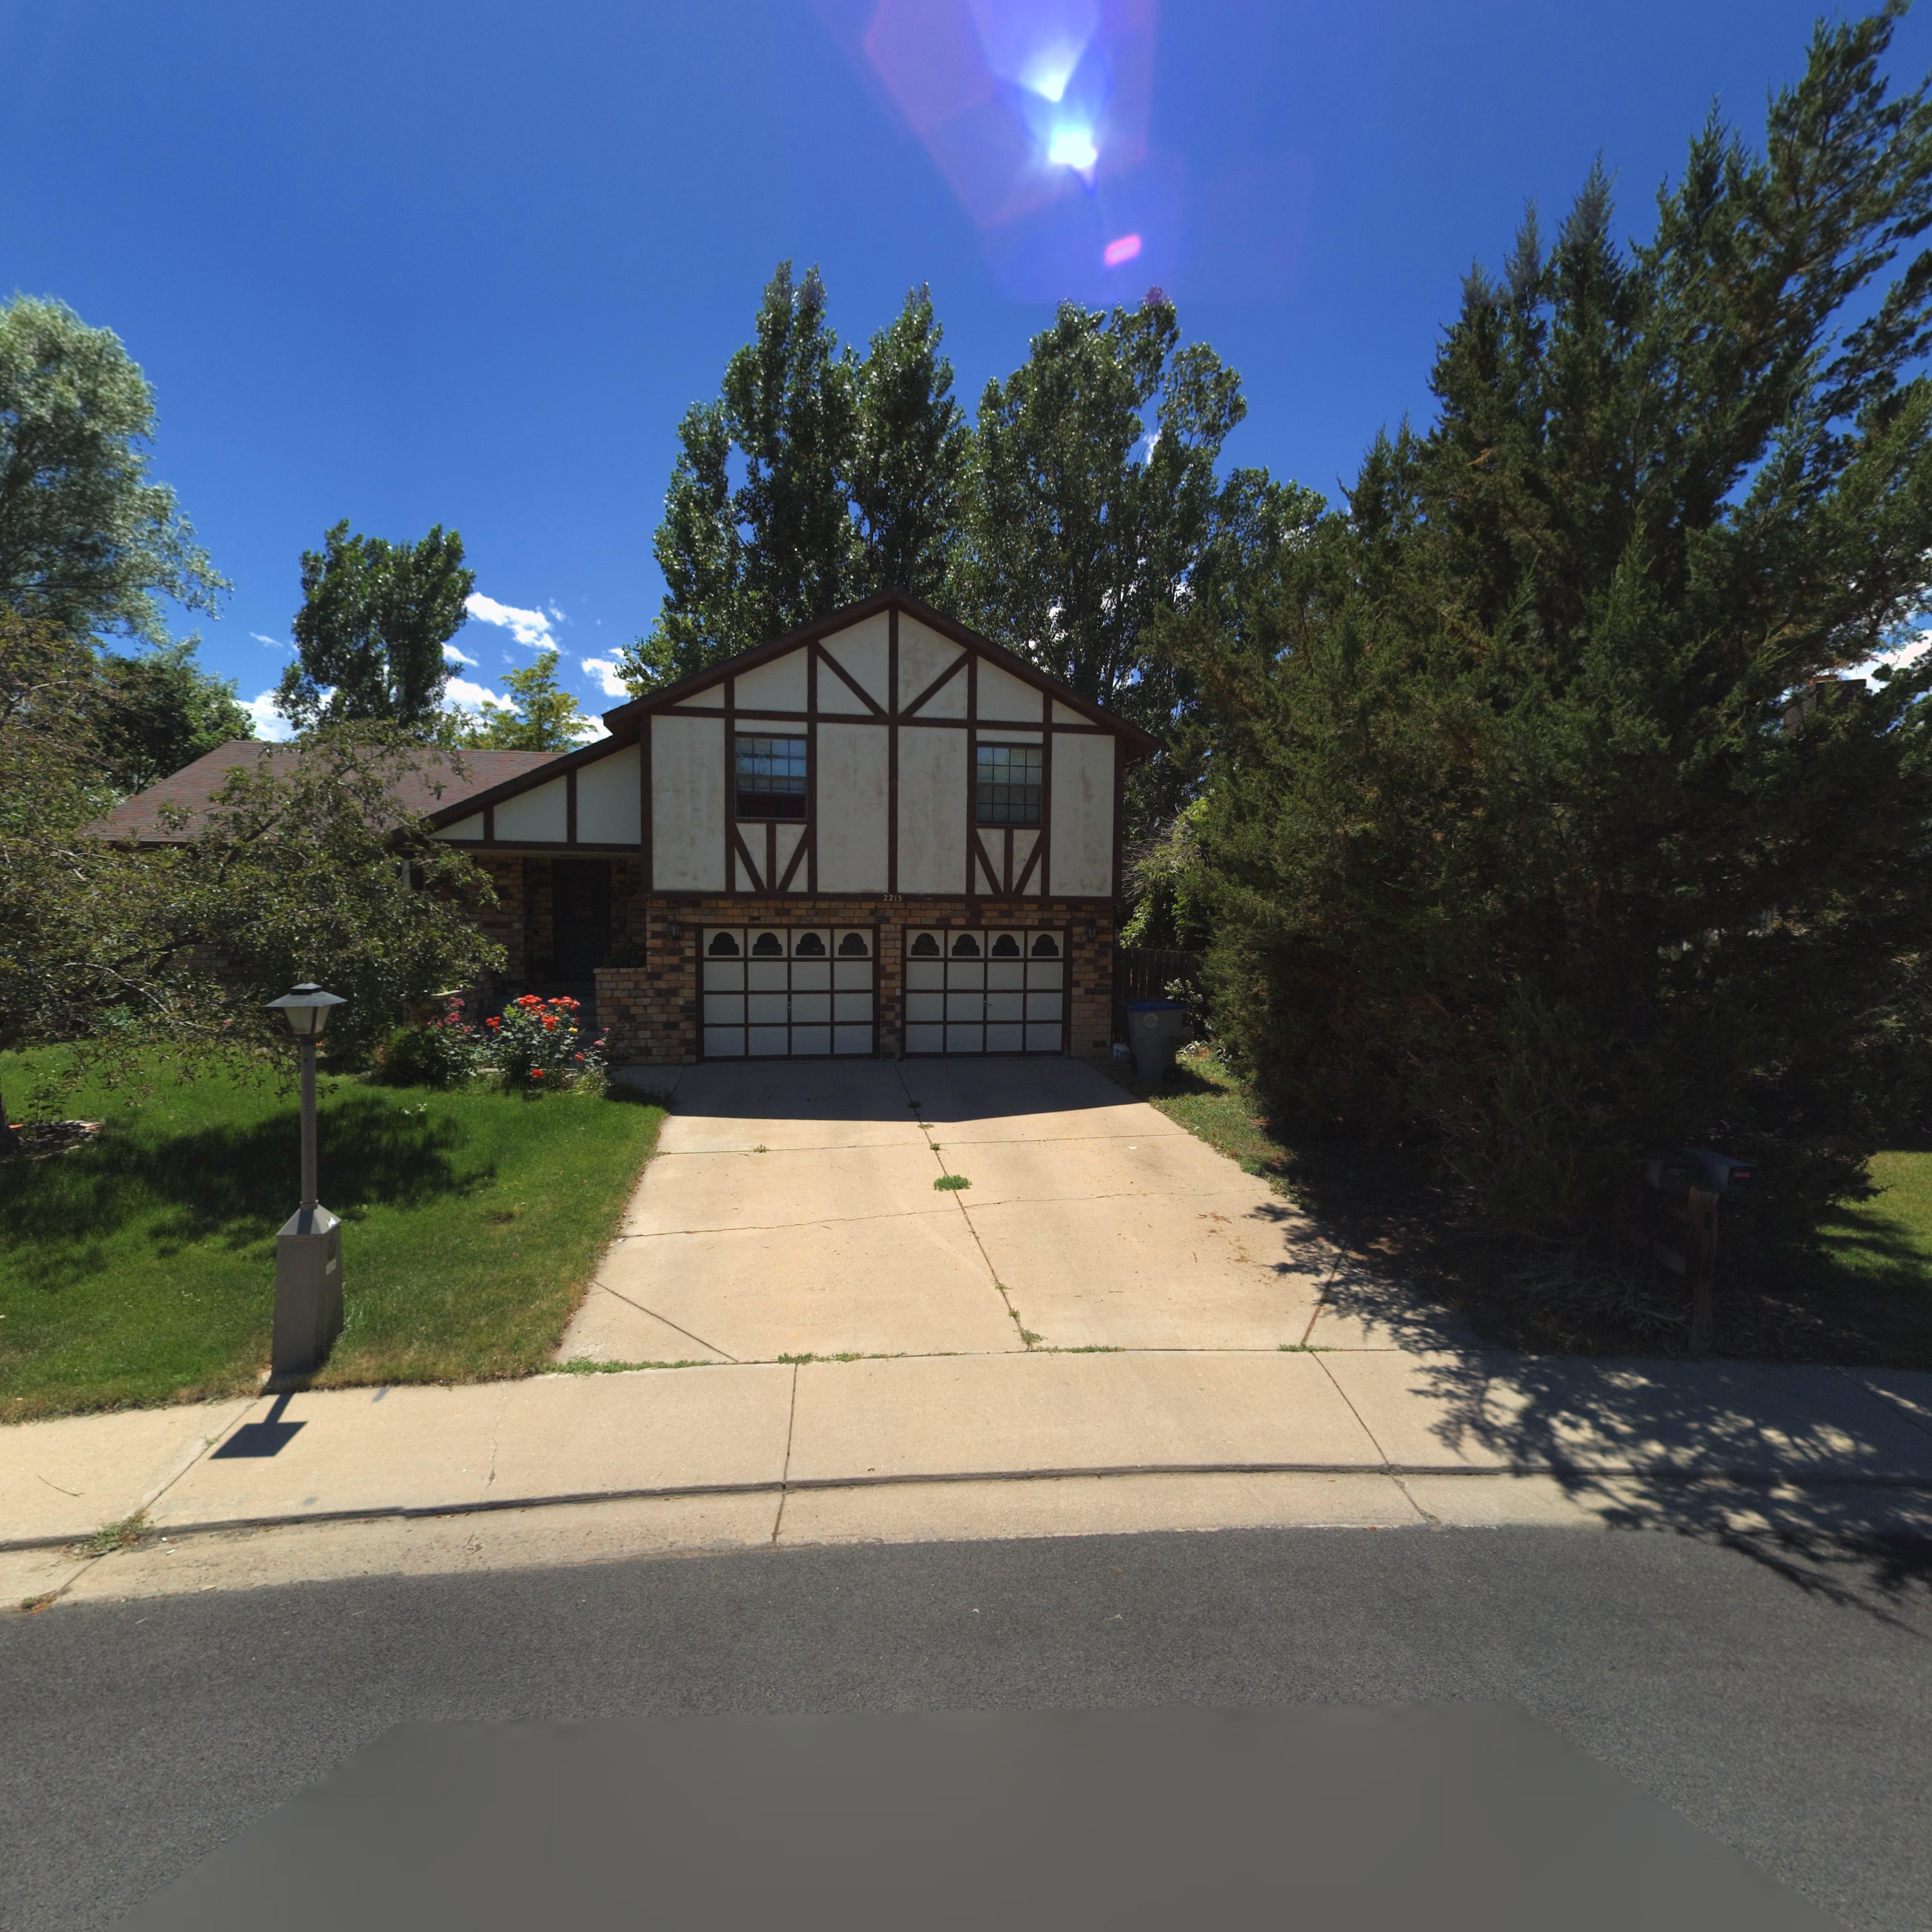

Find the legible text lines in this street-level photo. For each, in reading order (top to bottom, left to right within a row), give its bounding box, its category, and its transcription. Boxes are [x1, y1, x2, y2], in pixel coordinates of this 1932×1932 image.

[882, 893, 901, 901] StreetNumber: 2213